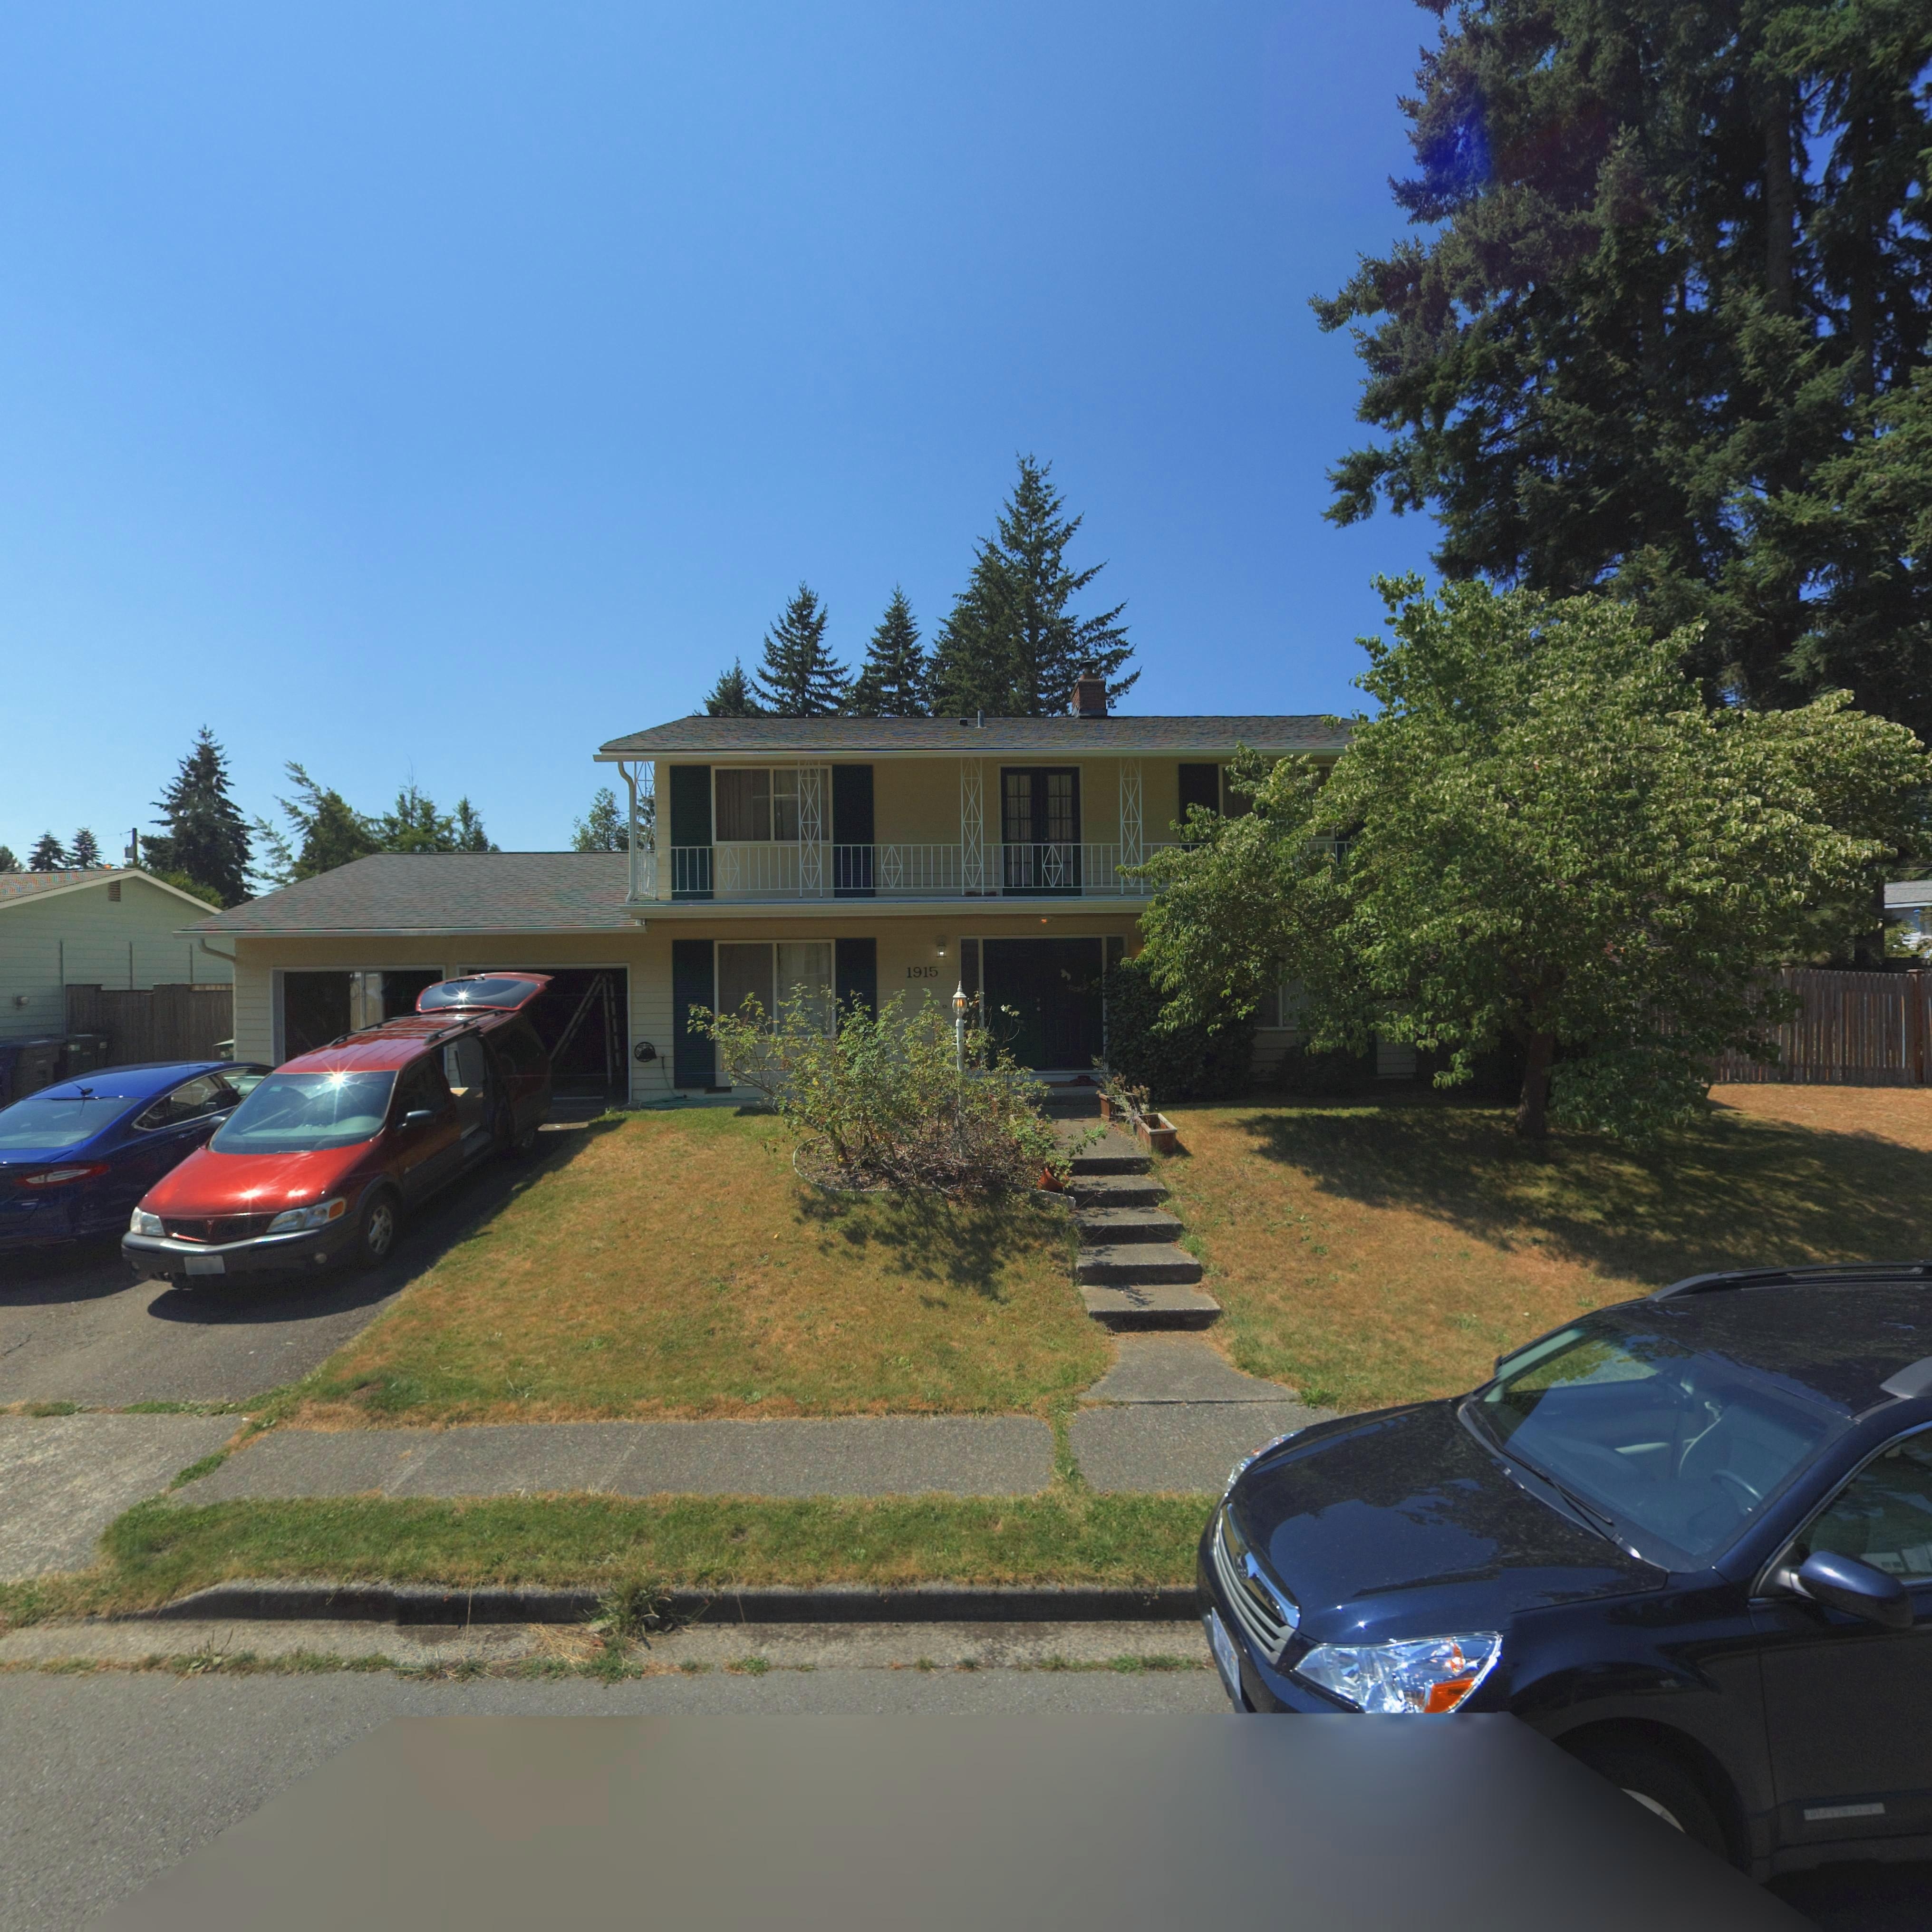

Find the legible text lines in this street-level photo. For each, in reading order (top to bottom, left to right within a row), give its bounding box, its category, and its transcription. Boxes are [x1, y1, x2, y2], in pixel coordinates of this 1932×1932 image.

[907, 965, 938, 978] StreetNumber: 1915